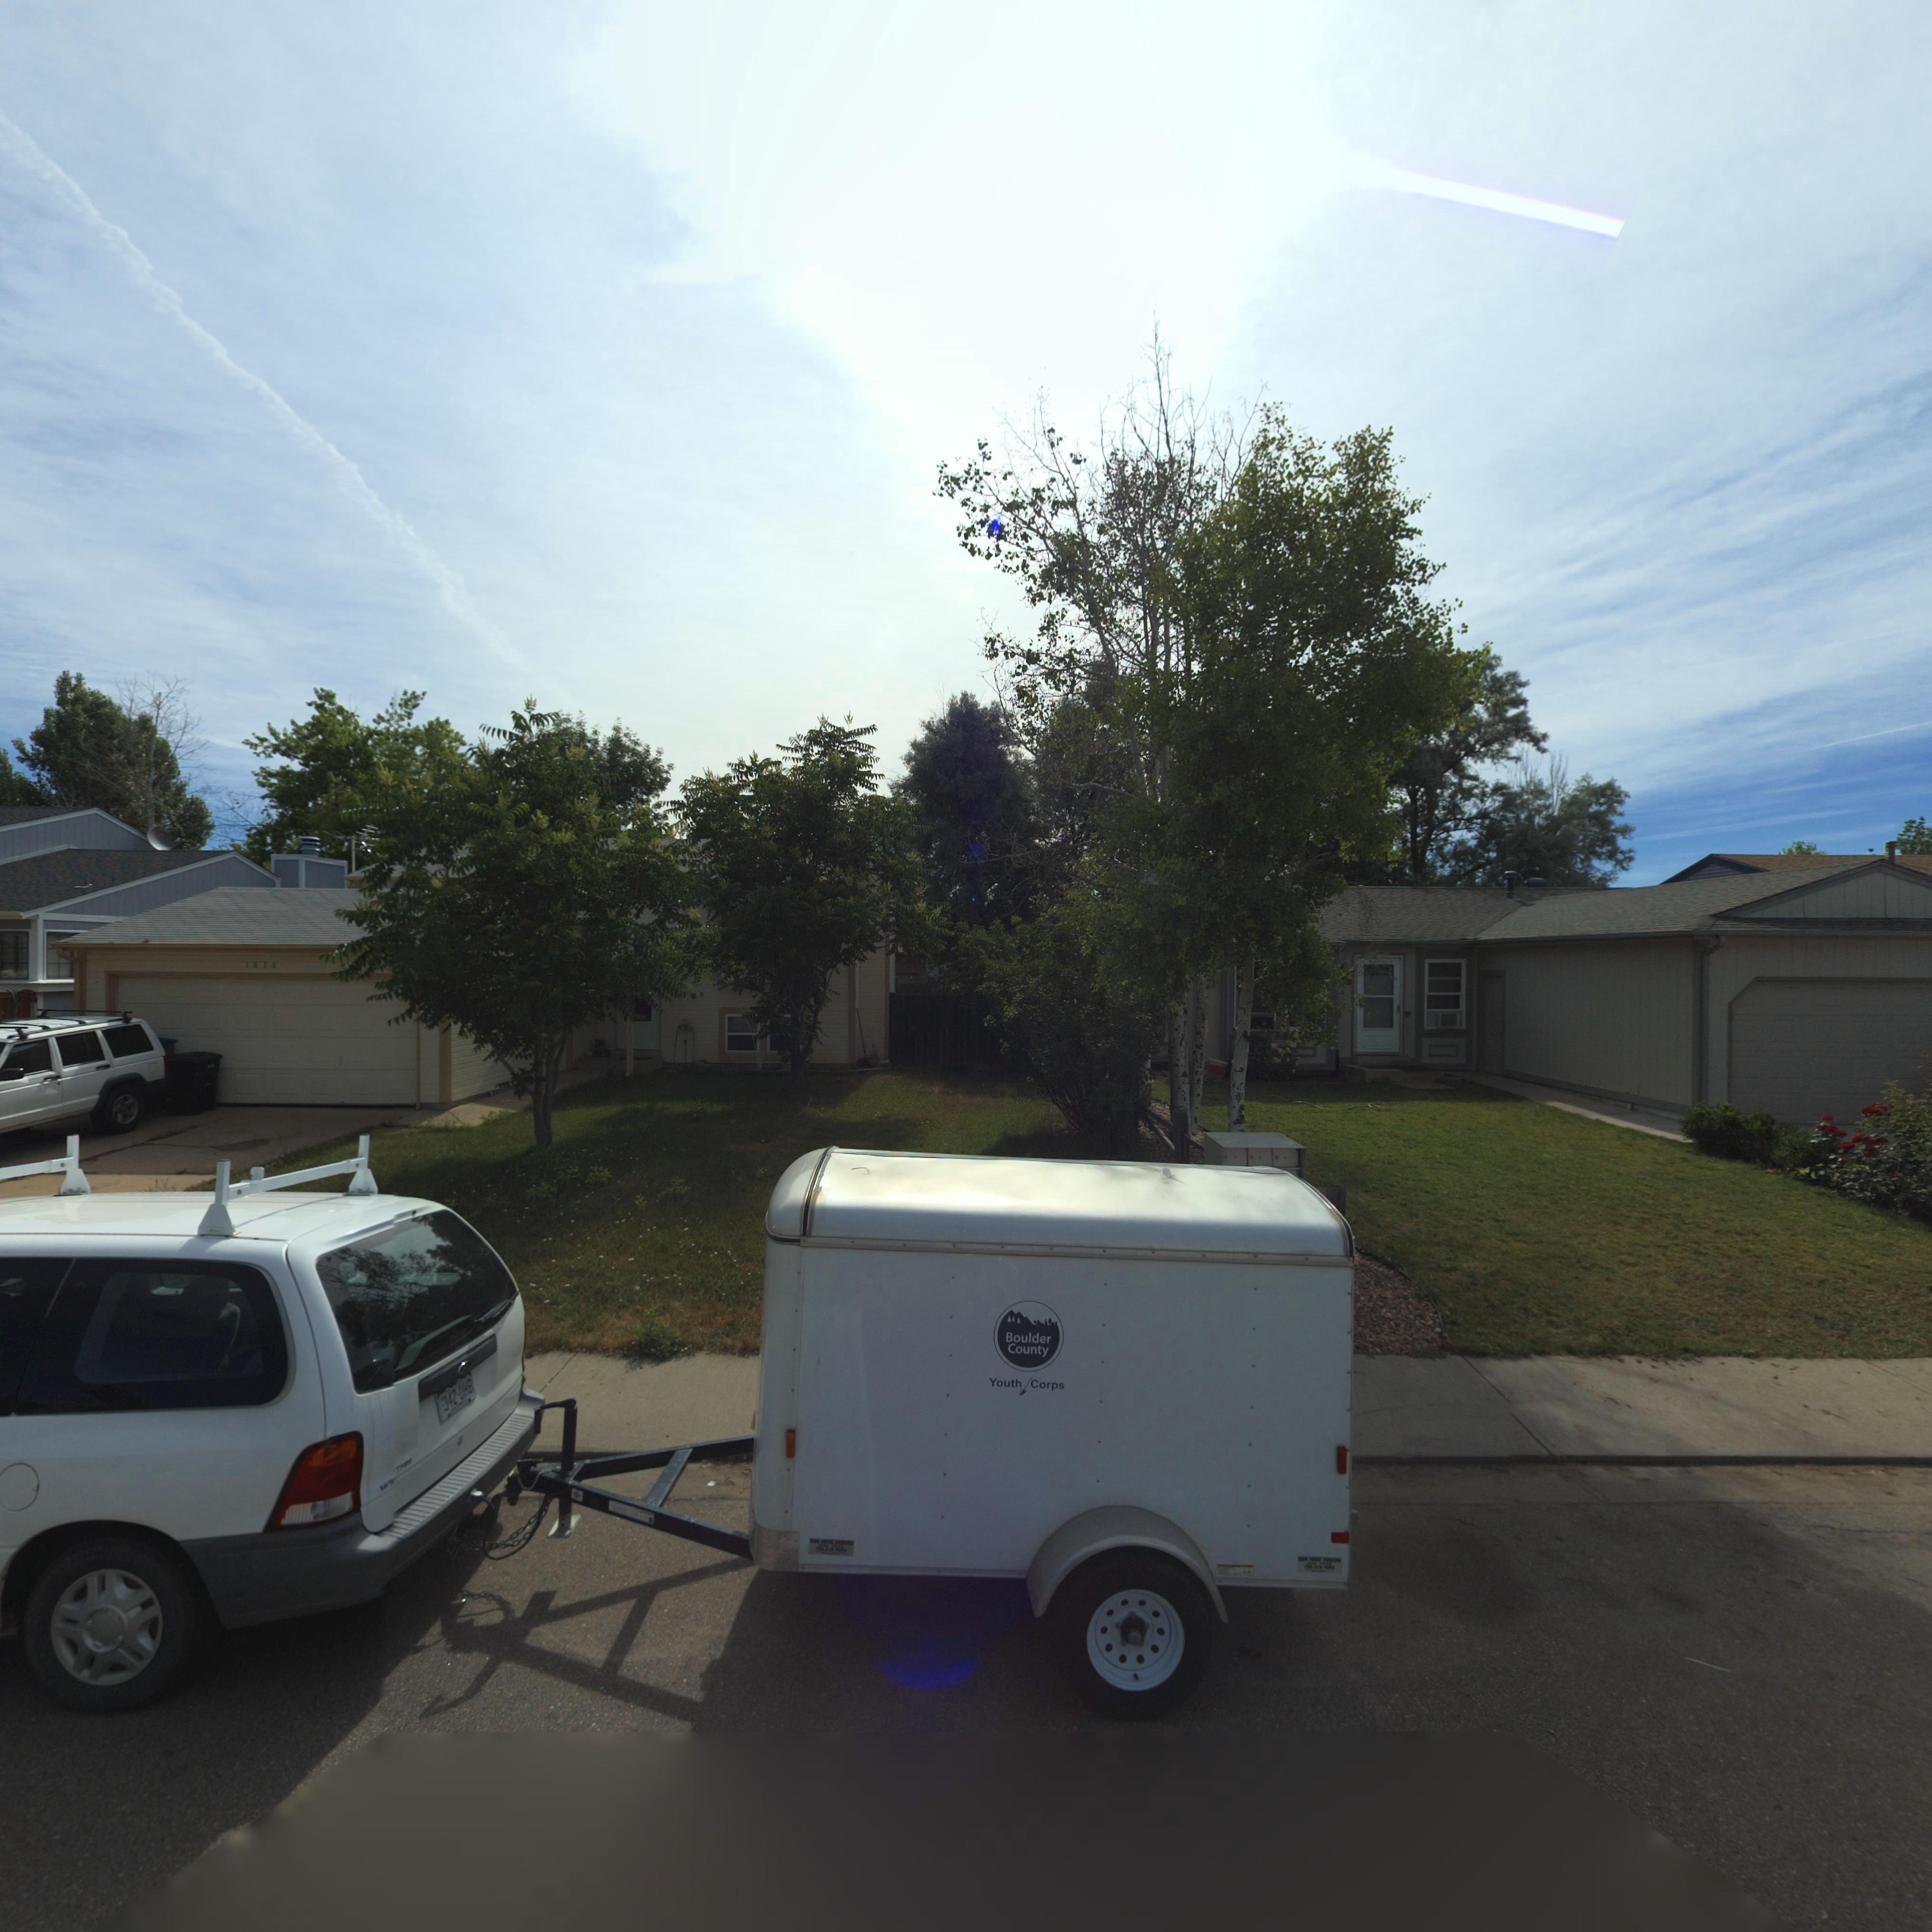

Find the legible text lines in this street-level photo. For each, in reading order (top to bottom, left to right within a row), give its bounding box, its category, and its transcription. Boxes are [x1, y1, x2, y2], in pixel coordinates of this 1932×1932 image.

[245, 960, 277, 969] StreetNumber: 1836